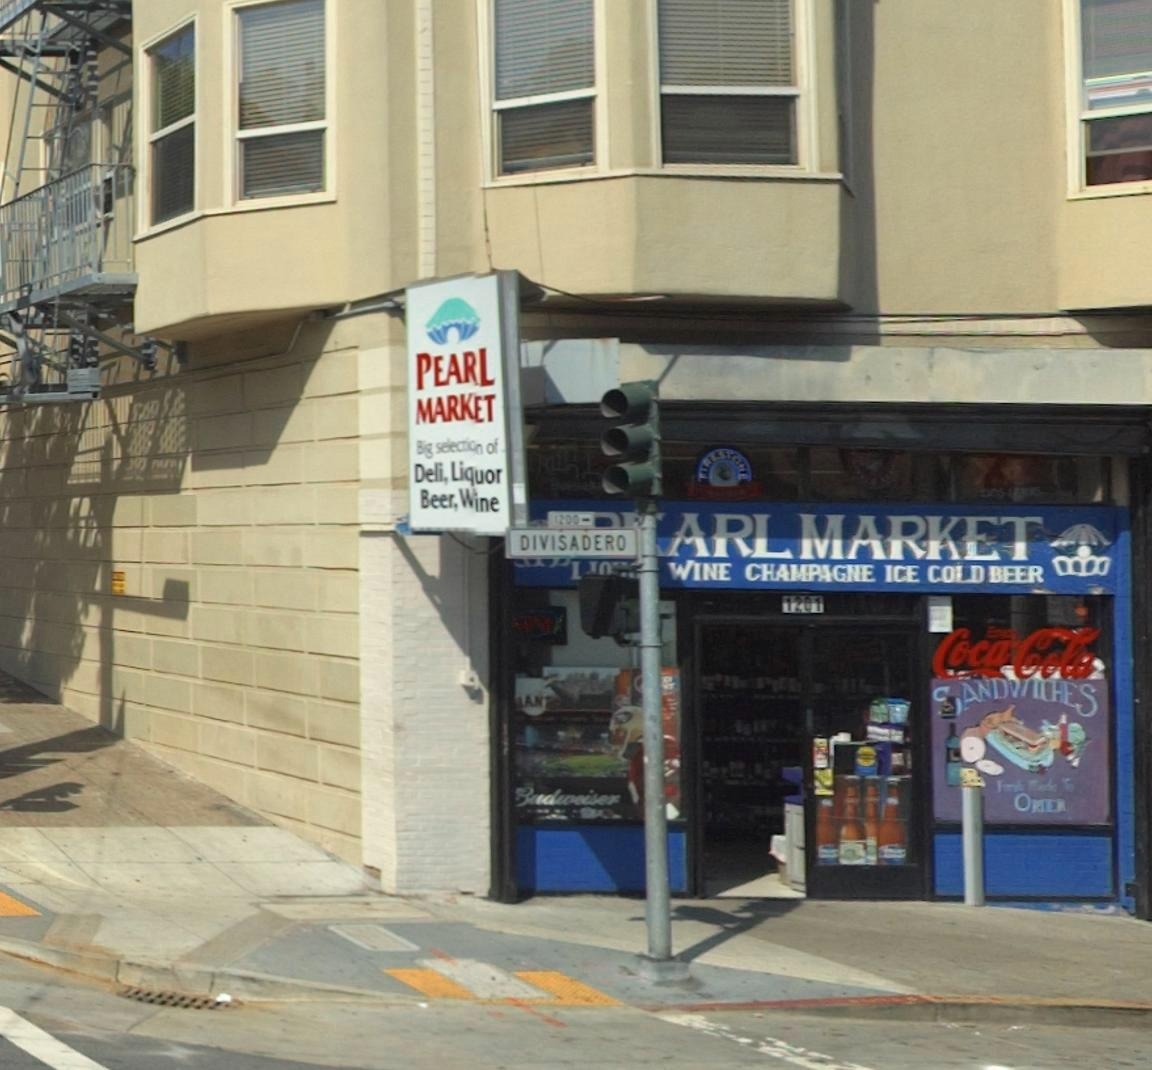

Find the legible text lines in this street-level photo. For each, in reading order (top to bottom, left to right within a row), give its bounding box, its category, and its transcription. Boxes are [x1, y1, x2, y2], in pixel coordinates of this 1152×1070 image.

[406, 342, 497, 394] BusinessName: PEARL
[410, 388, 501, 429] BusinessName: MARKET
[411, 431, 500, 458] None: Big selection of
[410, 460, 506, 488] None: Deli, Liquor
[418, 490, 502, 519] None: Beer, Wine
[549, 510, 593, 527] StreetNumberRange: 1200->
[515, 532, 634, 554] StreetName: DIVISADERO
[665, 511, 1047, 564] BusinessName: ARL MARKET
[668, 560, 1046, 588] None: WINE CHAMPAGNE ICE COLD BEER
[779, 592, 825, 615] StreetNumber: 1201
[929, 620, 1110, 681] None: Coca Cola
[930, 678, 1107, 730] None: SANDWICHES
[513, 778, 621, 808] None: Budweiser